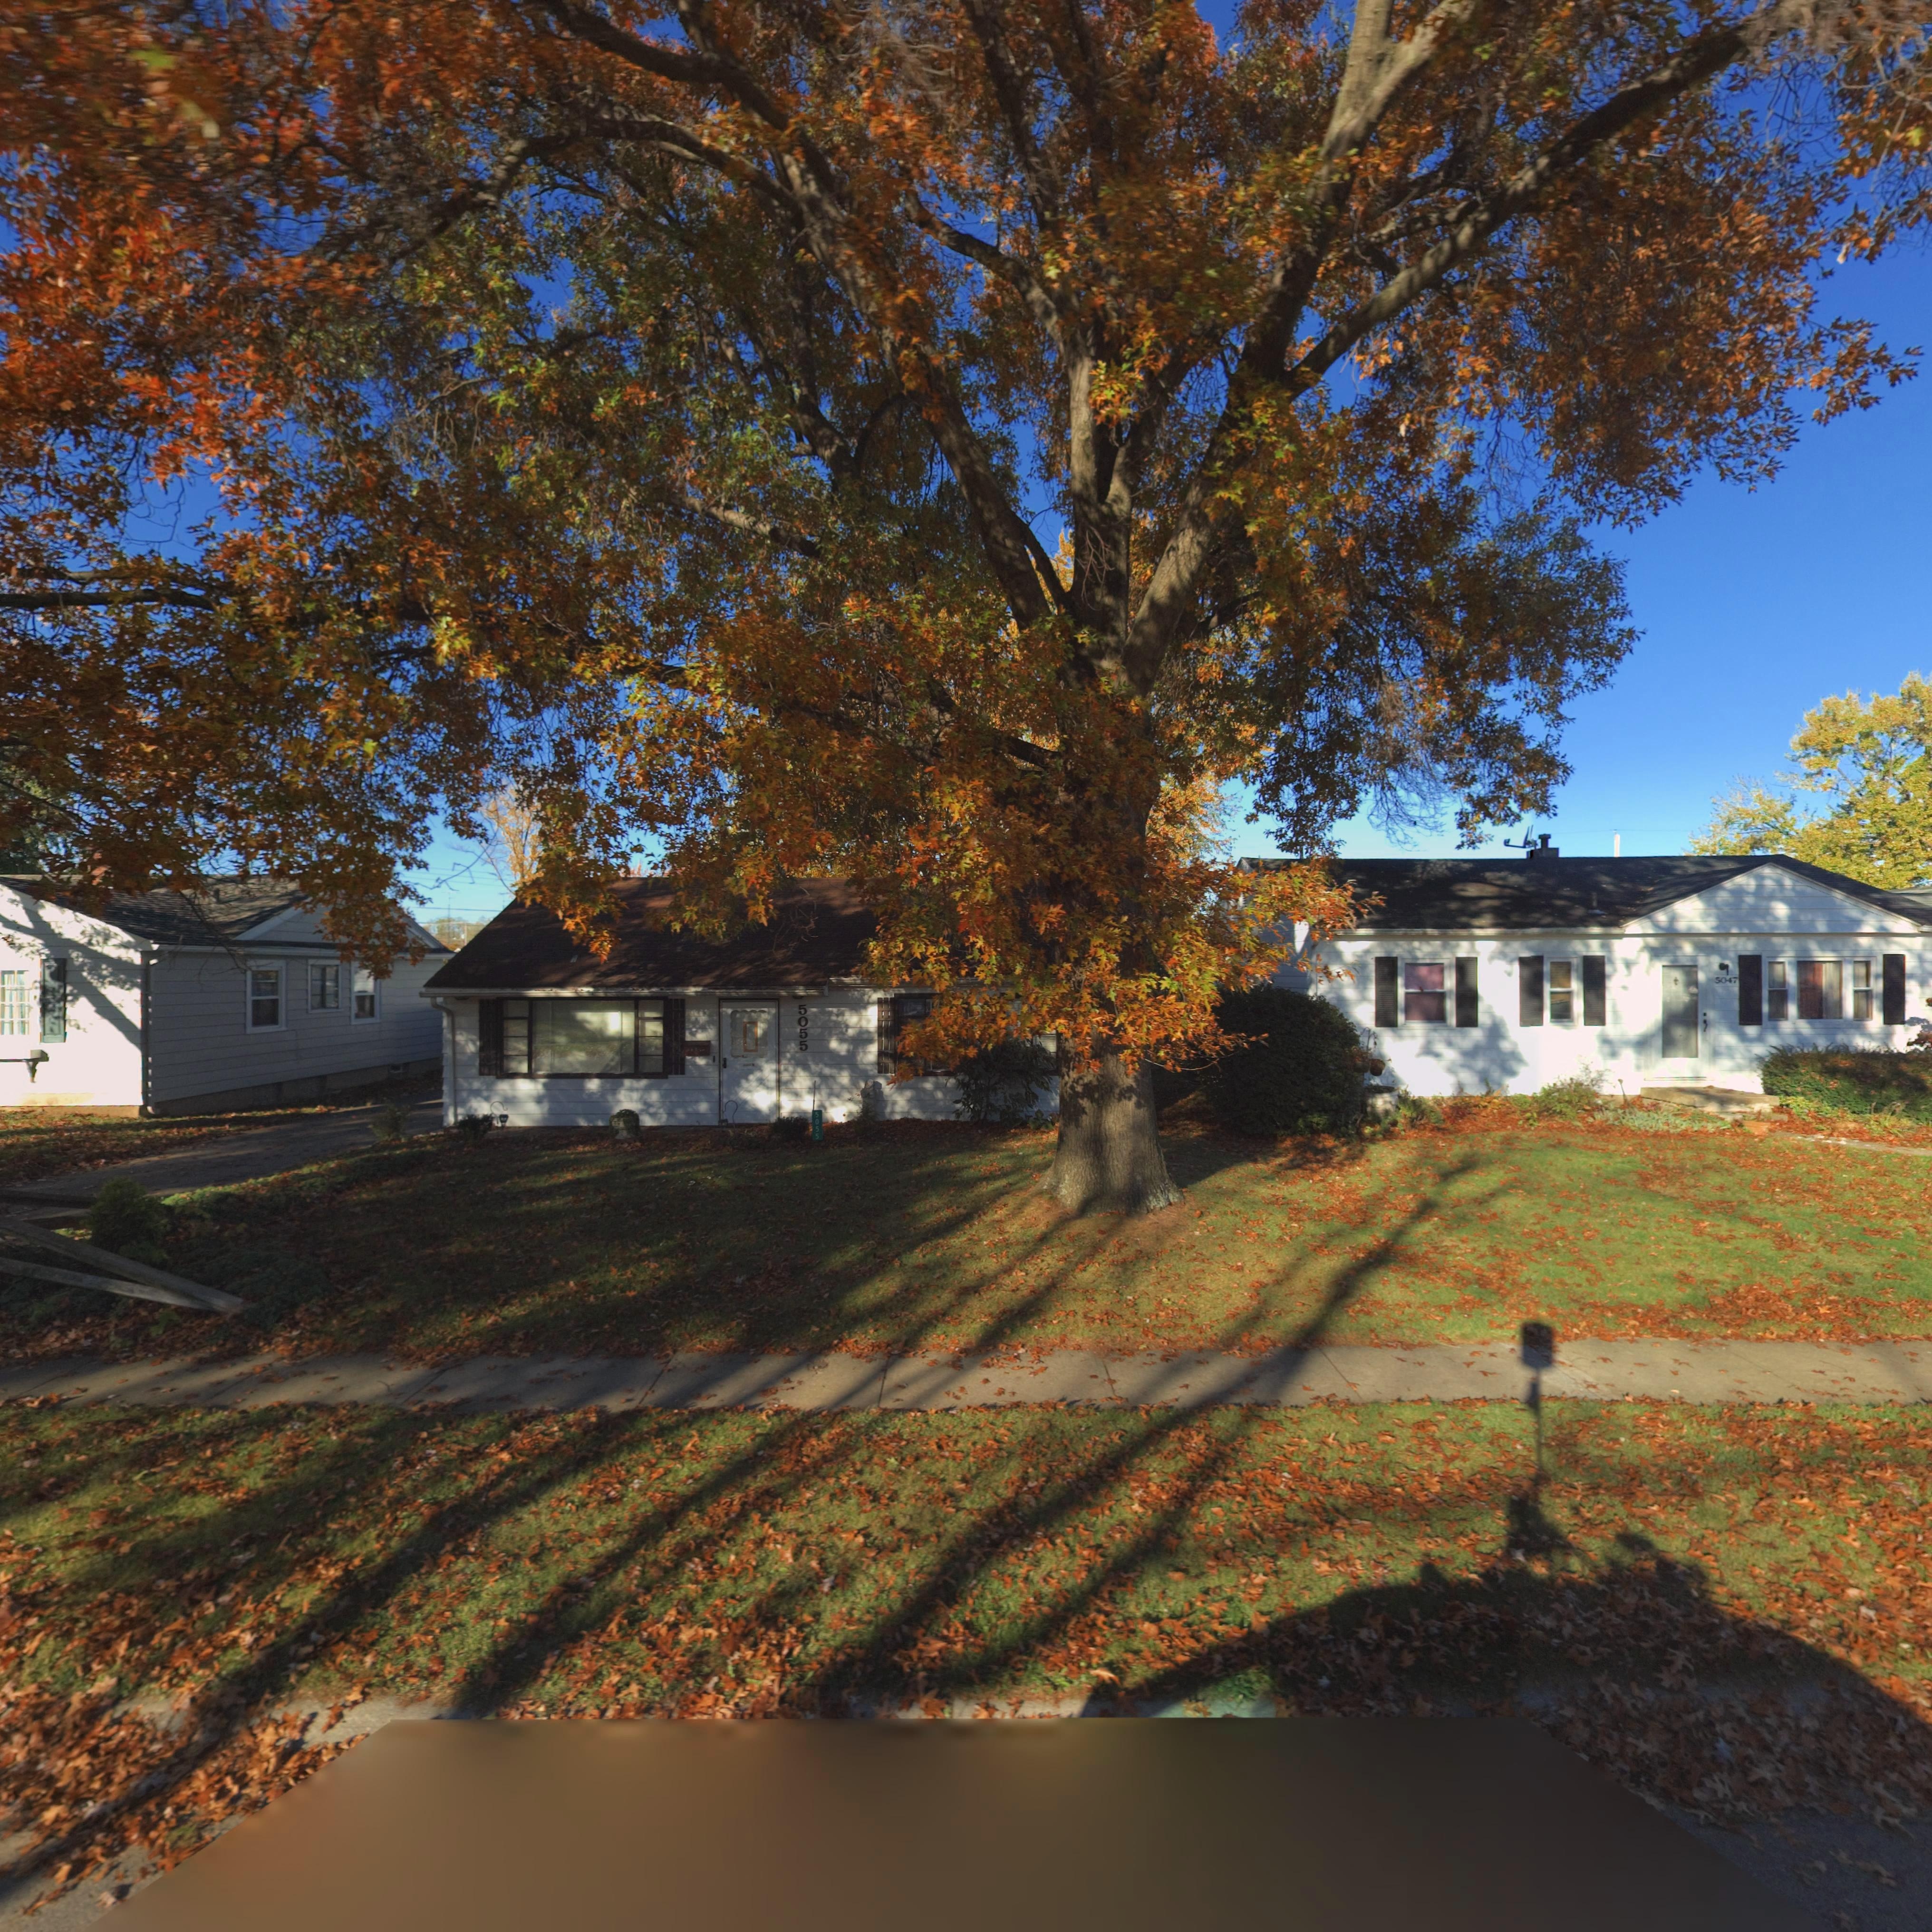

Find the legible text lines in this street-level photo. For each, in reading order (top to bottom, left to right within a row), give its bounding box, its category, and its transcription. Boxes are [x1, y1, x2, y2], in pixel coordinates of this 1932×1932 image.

[1714, 976, 1740, 984] StreetNumber: 5047
[798, 1004, 809, 1052] StreetNumber: 5055
[815, 1111, 820, 1140] StreetNumber: 5055